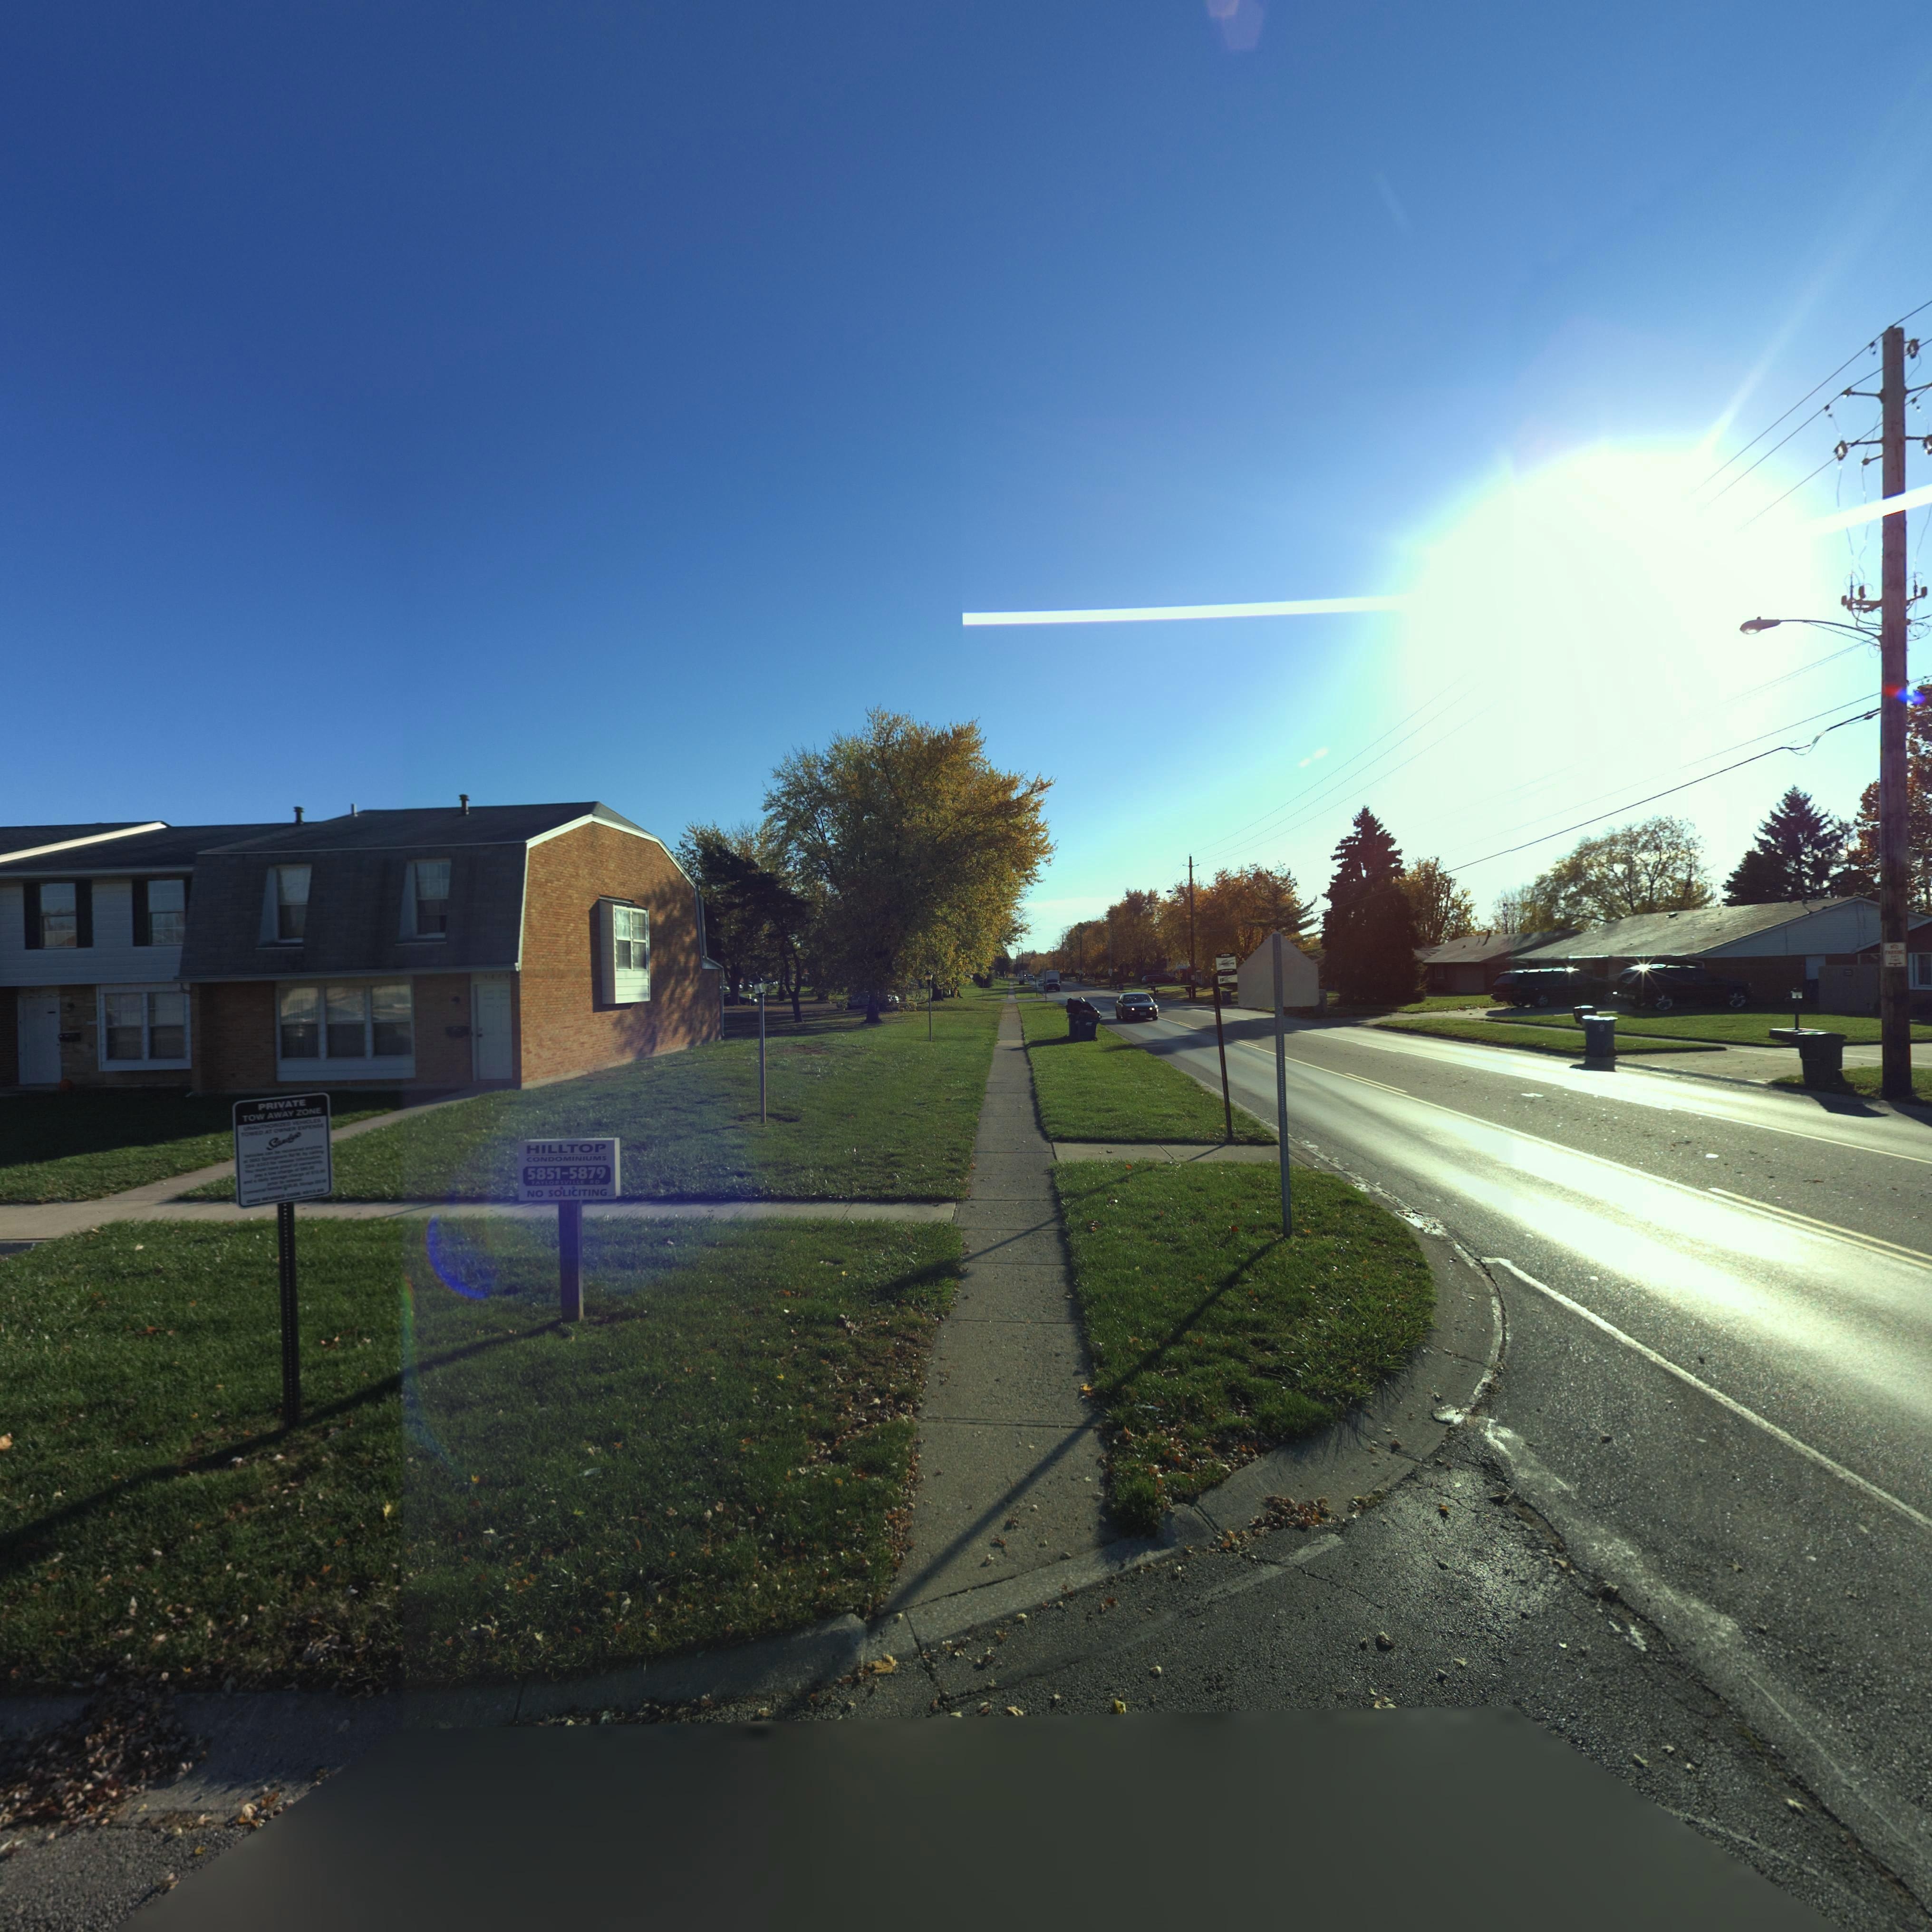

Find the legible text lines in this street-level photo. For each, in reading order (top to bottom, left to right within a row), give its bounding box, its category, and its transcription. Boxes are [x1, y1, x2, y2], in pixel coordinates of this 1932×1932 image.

[483, 972, 511, 981] StreetNumber: **79